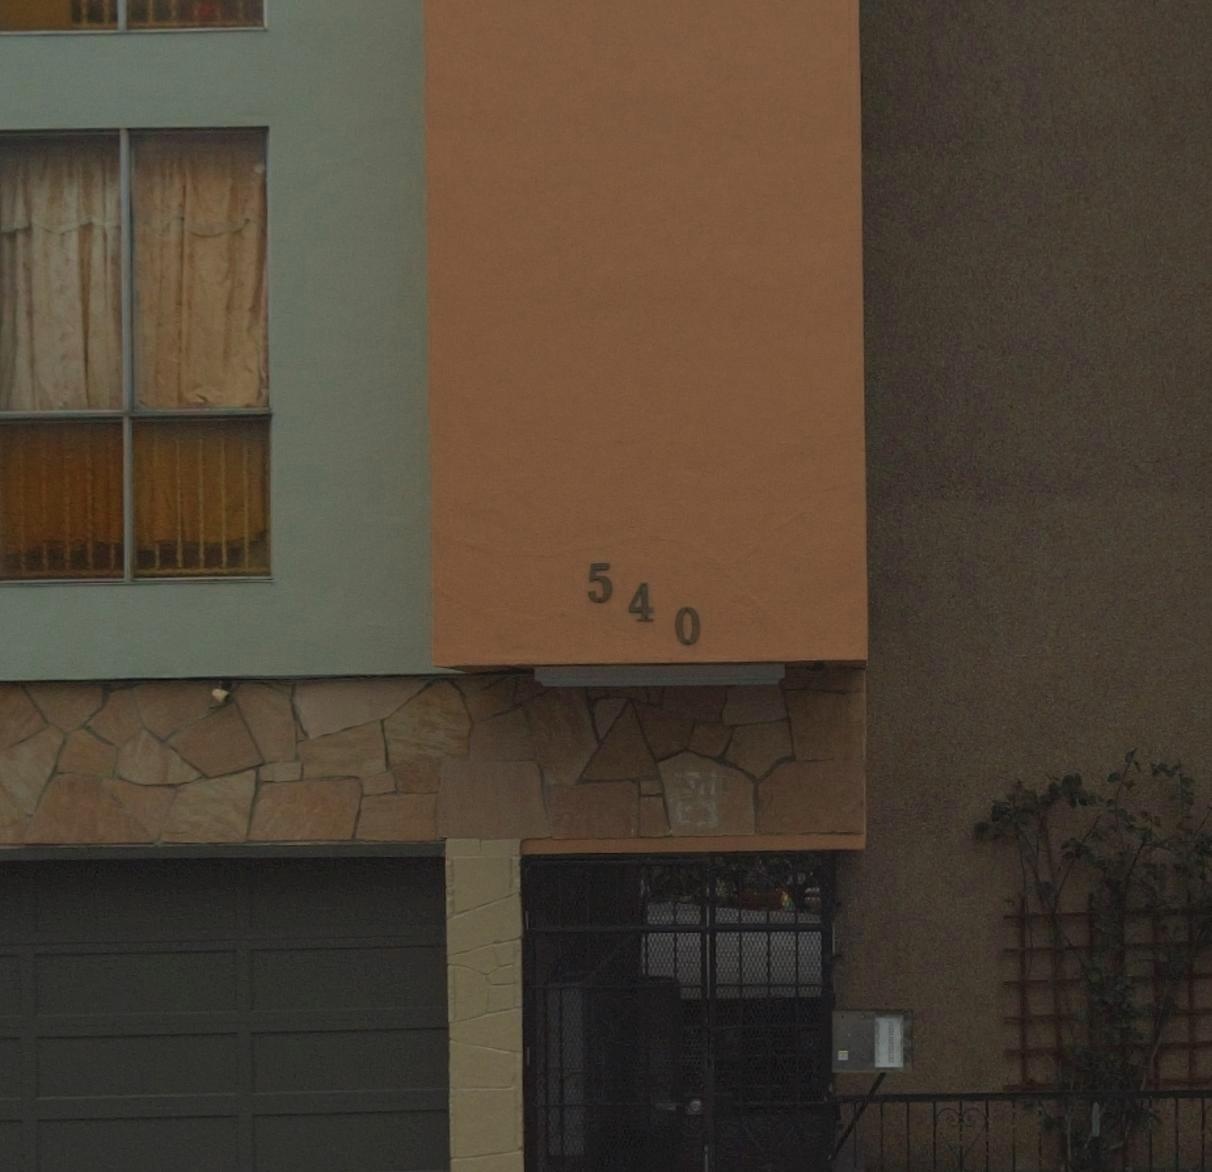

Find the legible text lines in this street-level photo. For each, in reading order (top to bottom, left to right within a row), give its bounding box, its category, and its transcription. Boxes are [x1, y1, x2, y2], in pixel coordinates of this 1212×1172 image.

[587, 561, 702, 647] StreetNumber: 540